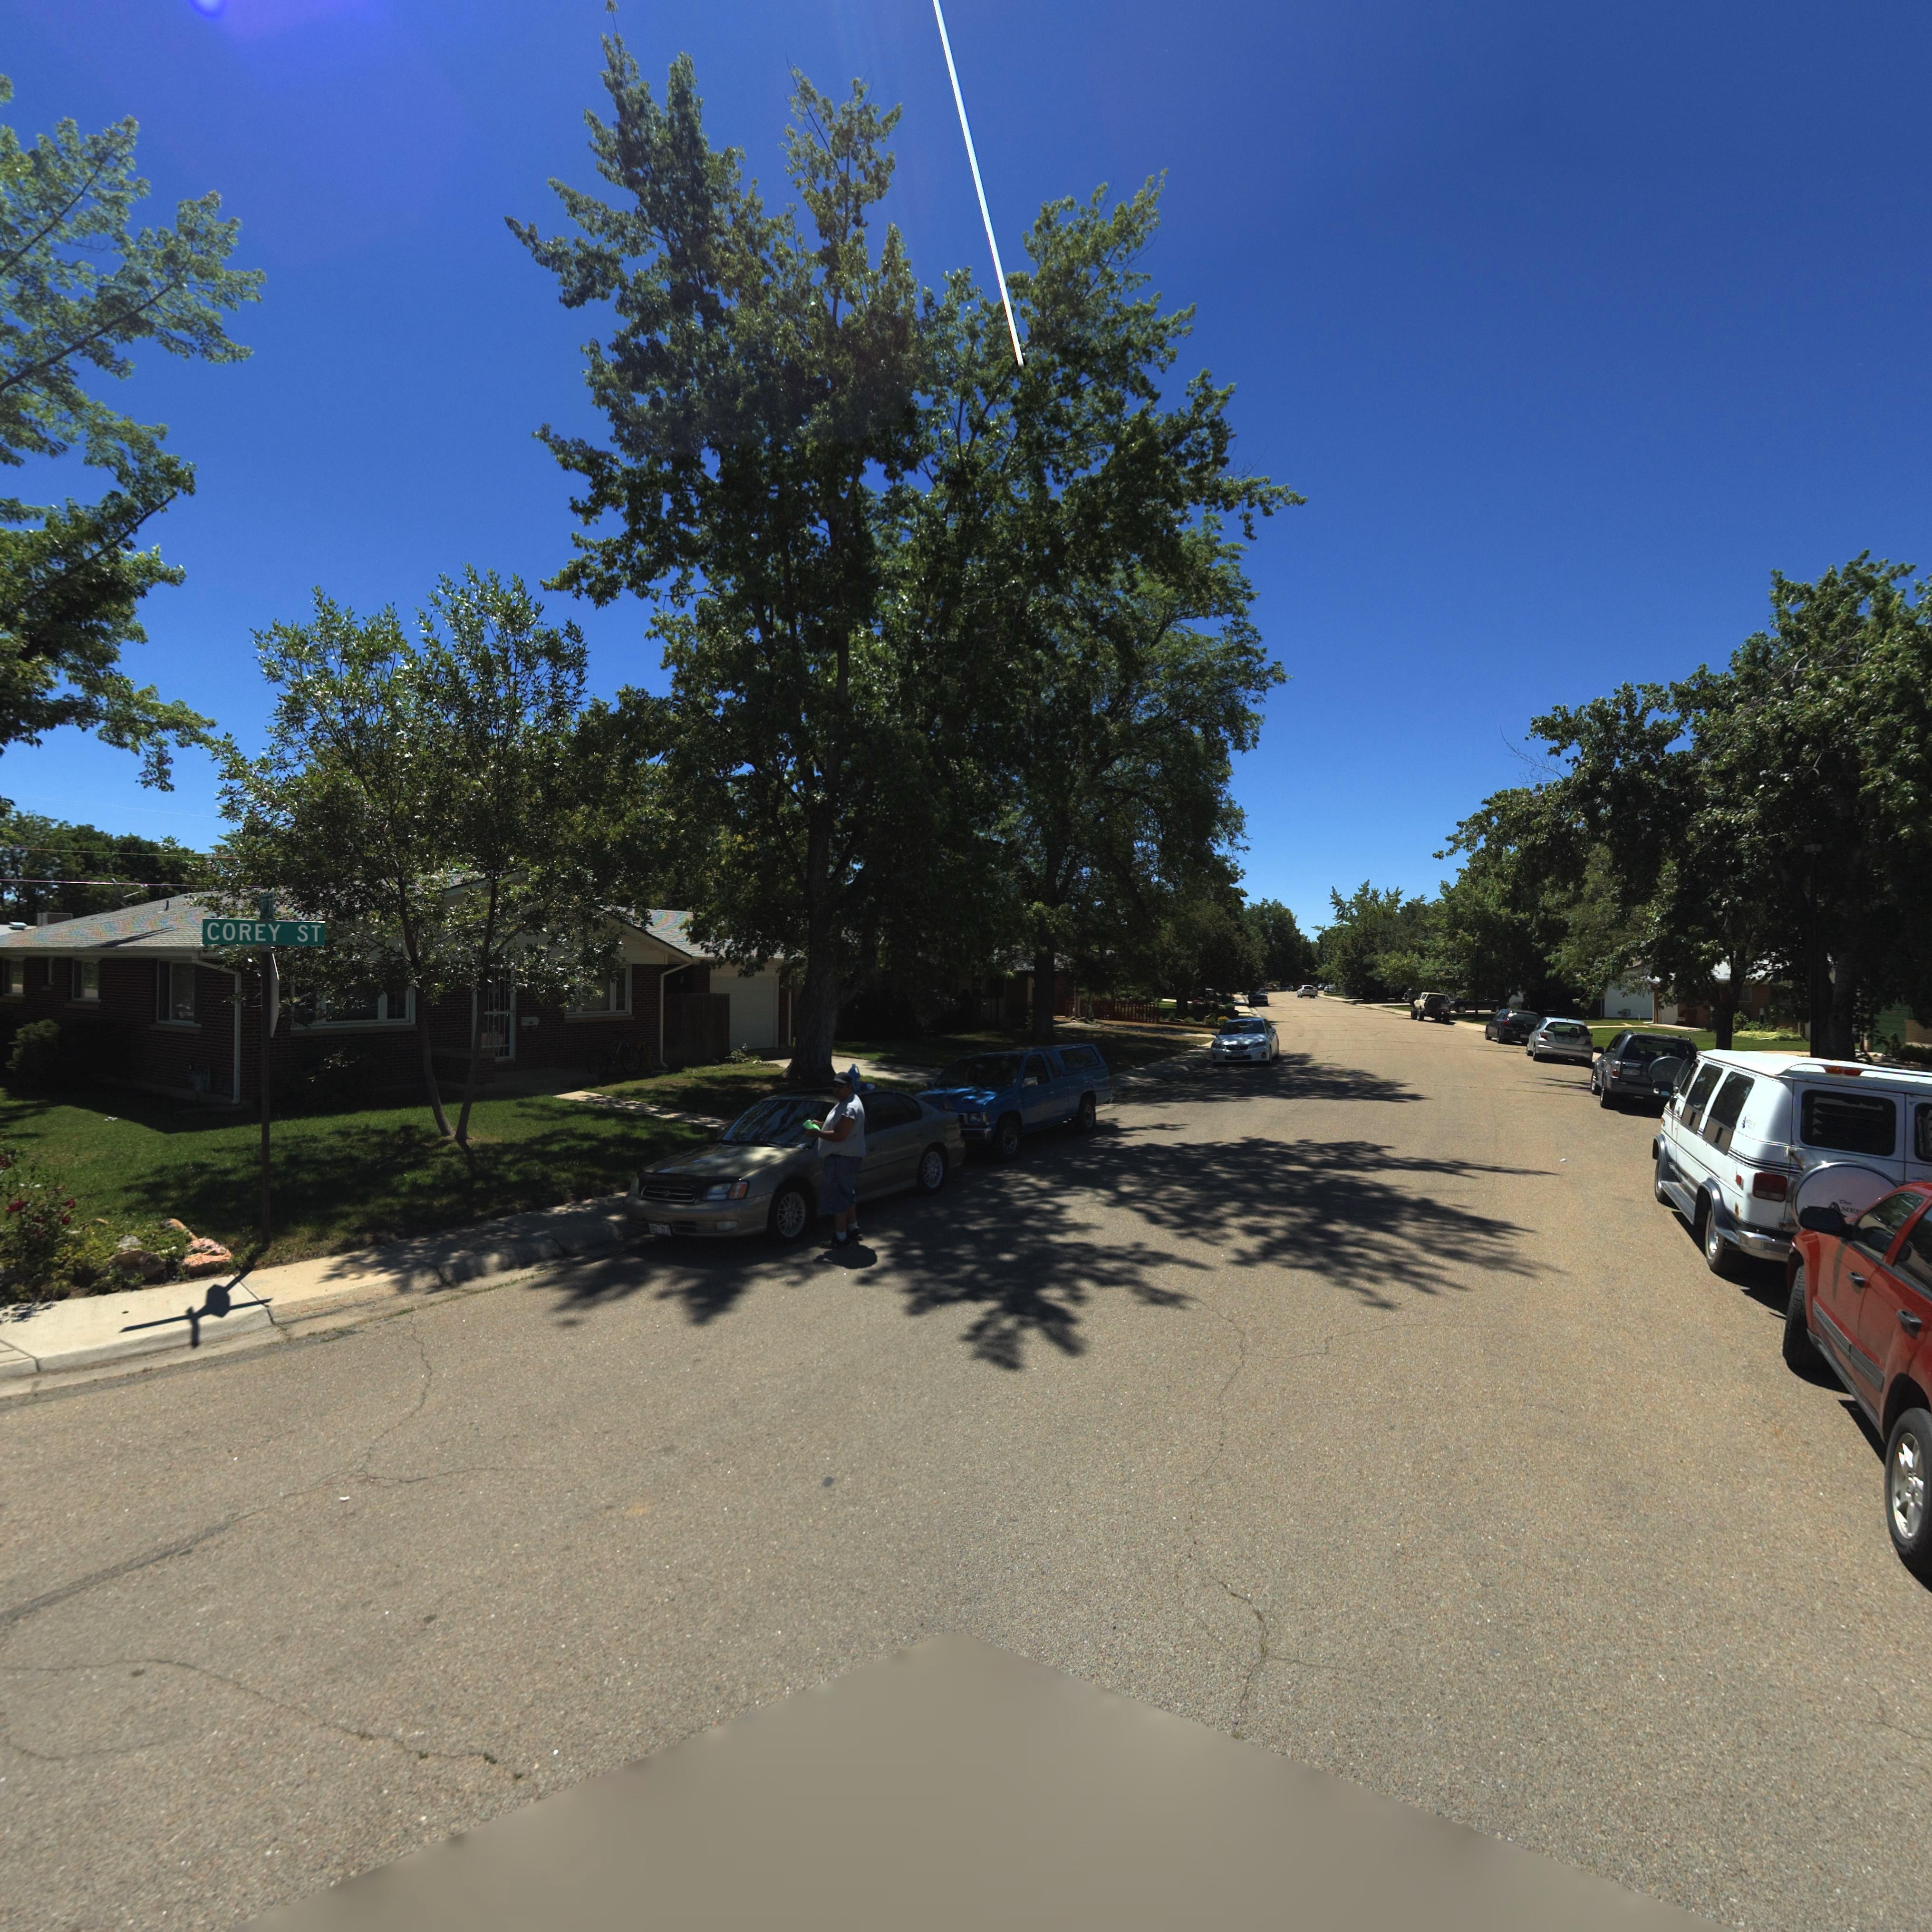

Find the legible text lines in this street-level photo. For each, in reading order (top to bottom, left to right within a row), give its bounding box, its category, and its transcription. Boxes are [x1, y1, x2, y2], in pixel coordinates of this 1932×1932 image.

[259, 897, 273, 916] StreetName: *9** A*
[206, 921, 321, 943] StreetName: COREY ST